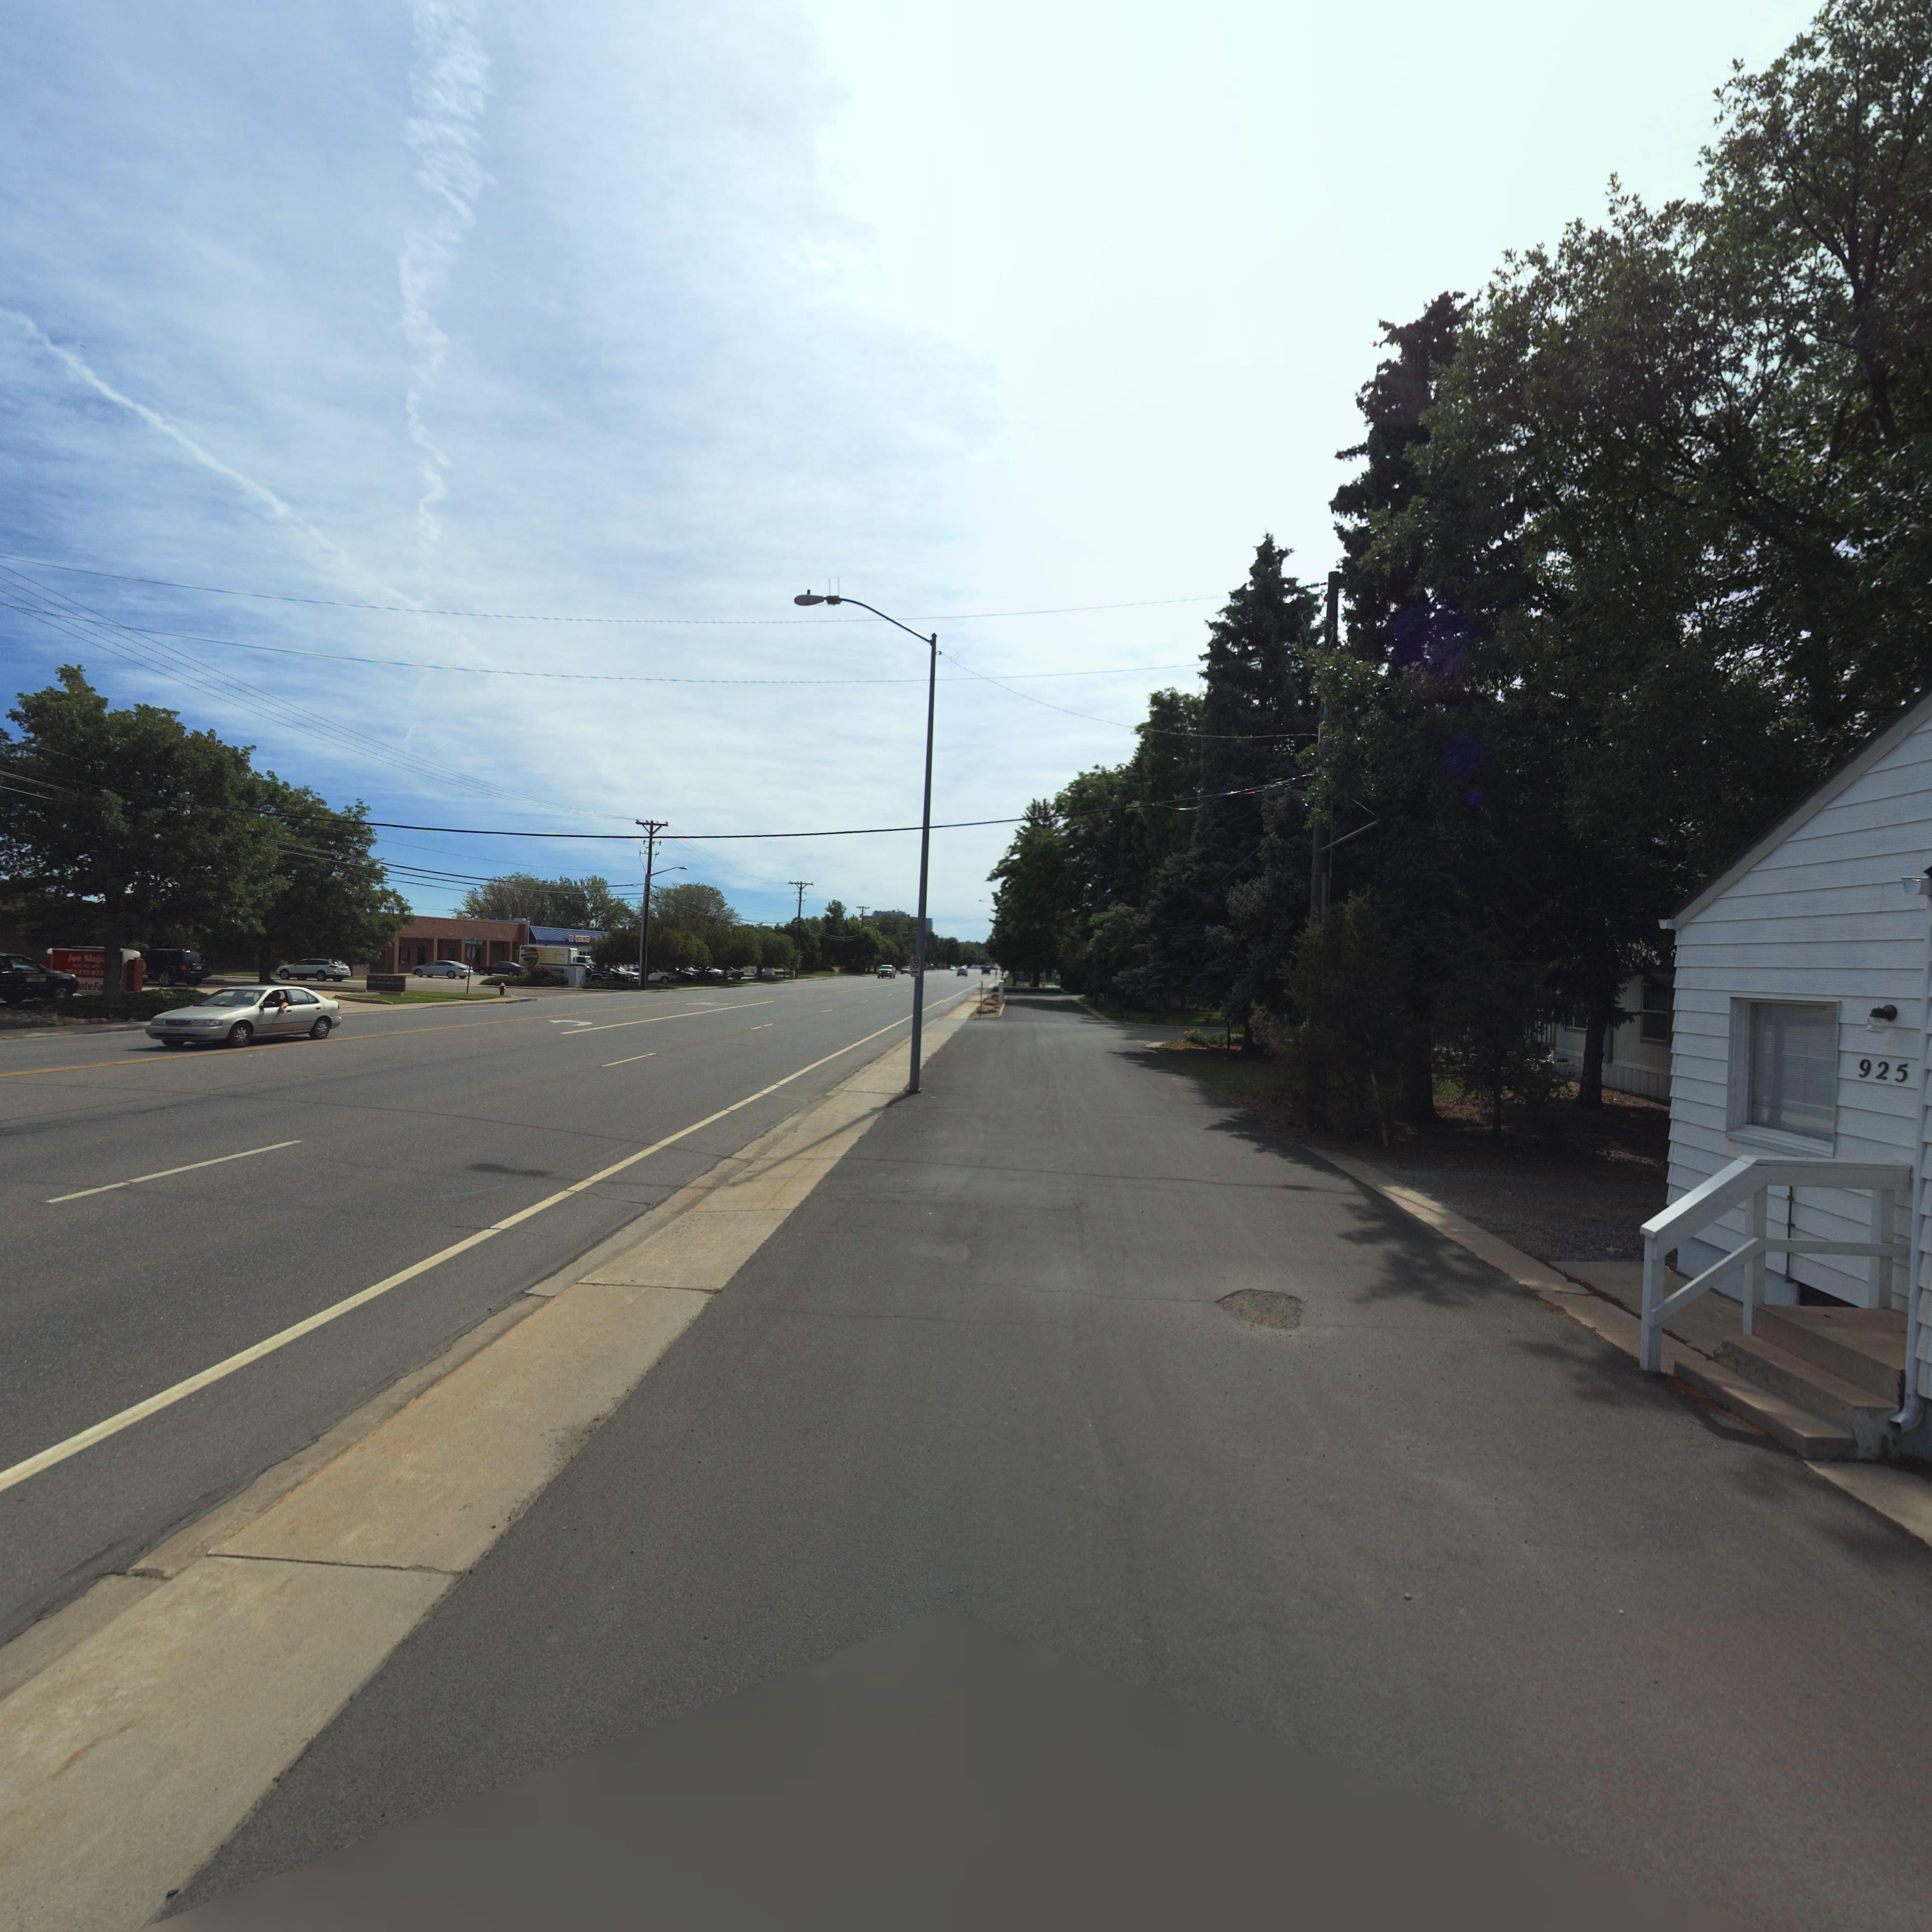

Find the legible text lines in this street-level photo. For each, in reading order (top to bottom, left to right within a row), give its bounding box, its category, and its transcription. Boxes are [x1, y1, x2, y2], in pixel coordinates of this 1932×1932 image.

[77, 981, 108, 991] BusinessName: **ateFa**
[1857, 1057, 1909, 1084] StreetNumber: 925